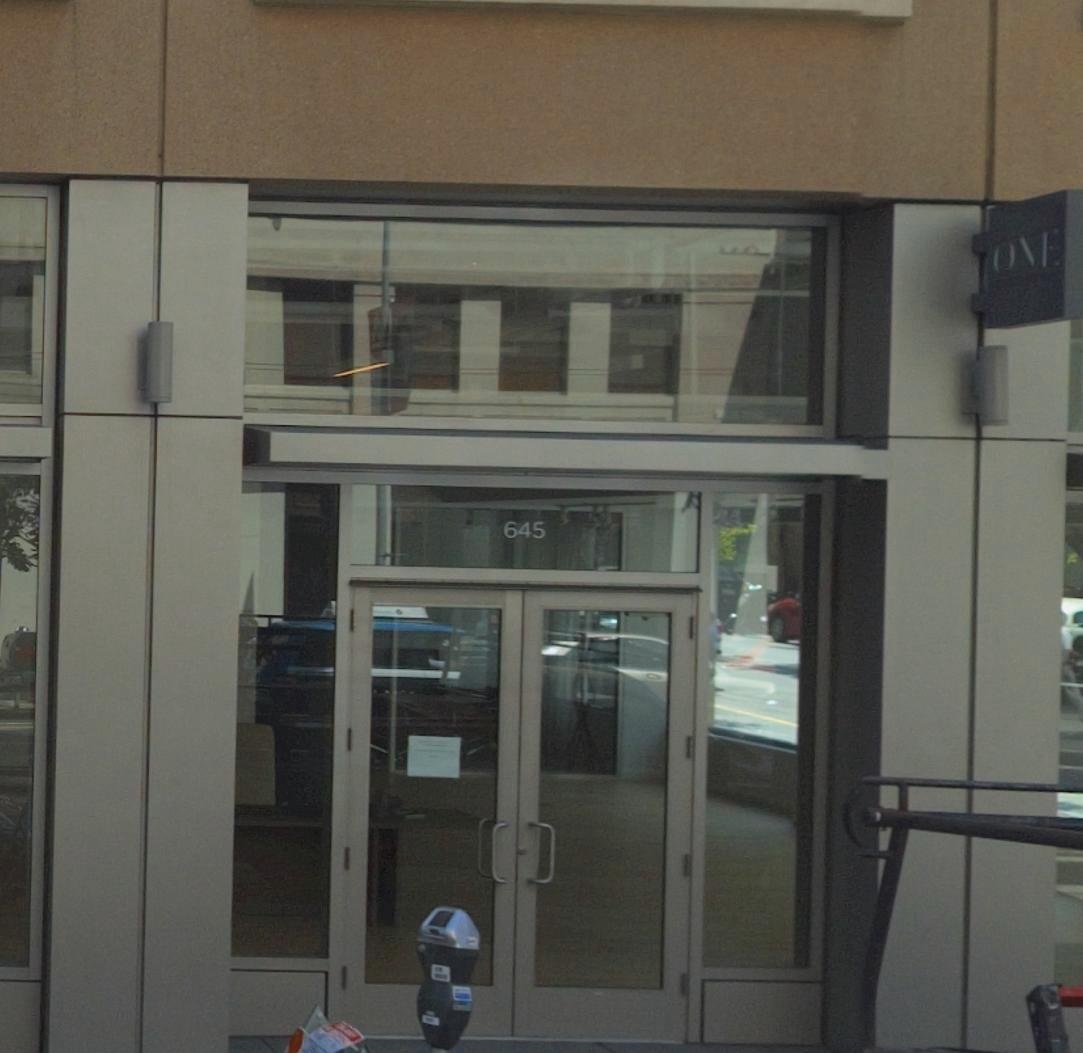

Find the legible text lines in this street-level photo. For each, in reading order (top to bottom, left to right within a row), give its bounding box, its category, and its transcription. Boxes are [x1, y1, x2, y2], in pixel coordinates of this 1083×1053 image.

[990, 225, 1064, 279] None: ONE
[503, 520, 546, 540] StreetNumber: 645